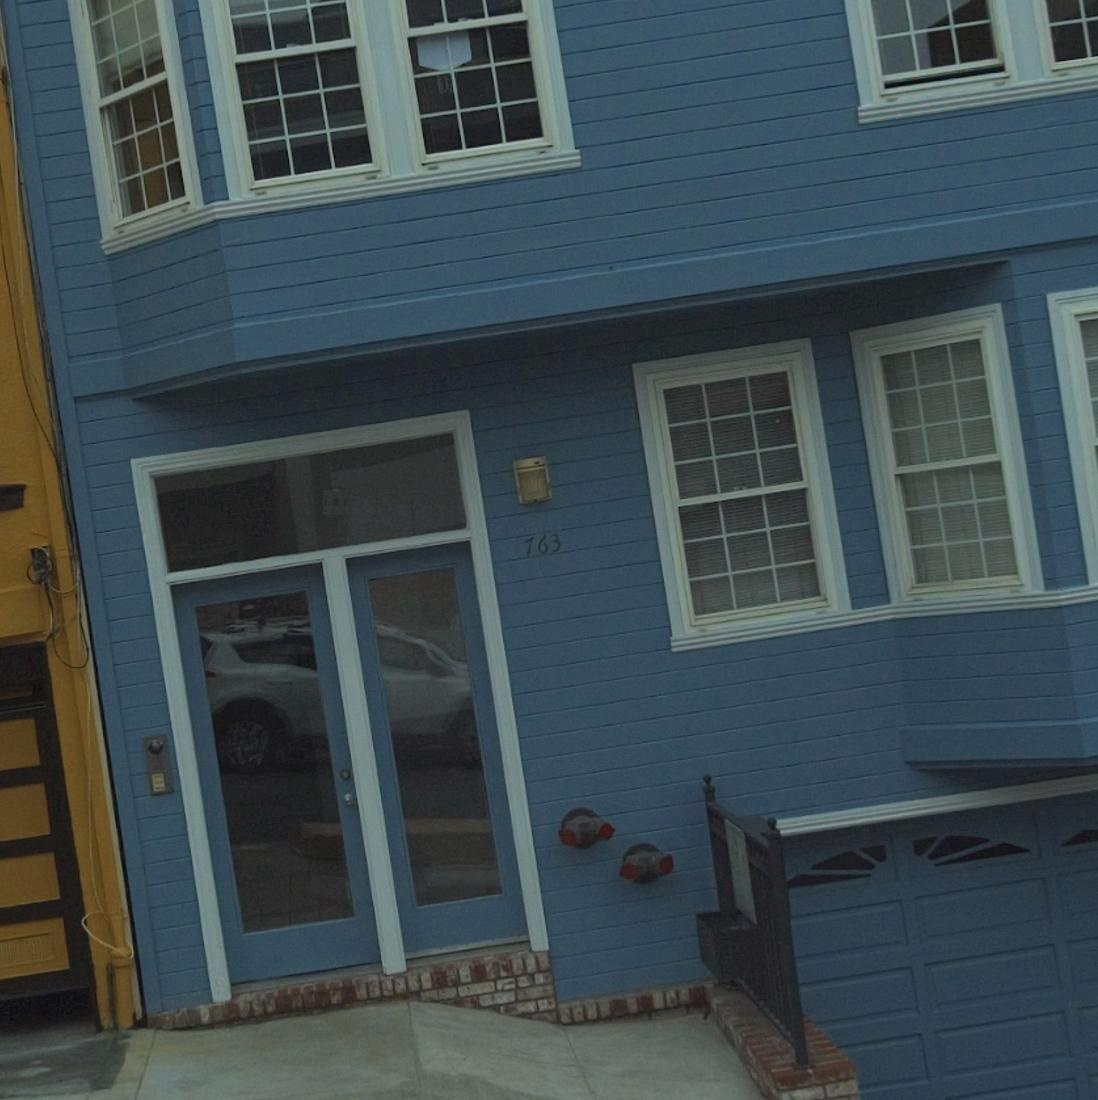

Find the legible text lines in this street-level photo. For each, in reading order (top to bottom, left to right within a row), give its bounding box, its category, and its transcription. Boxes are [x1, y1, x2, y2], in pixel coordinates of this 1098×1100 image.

[523, 531, 563, 559] StreetNumber: 763